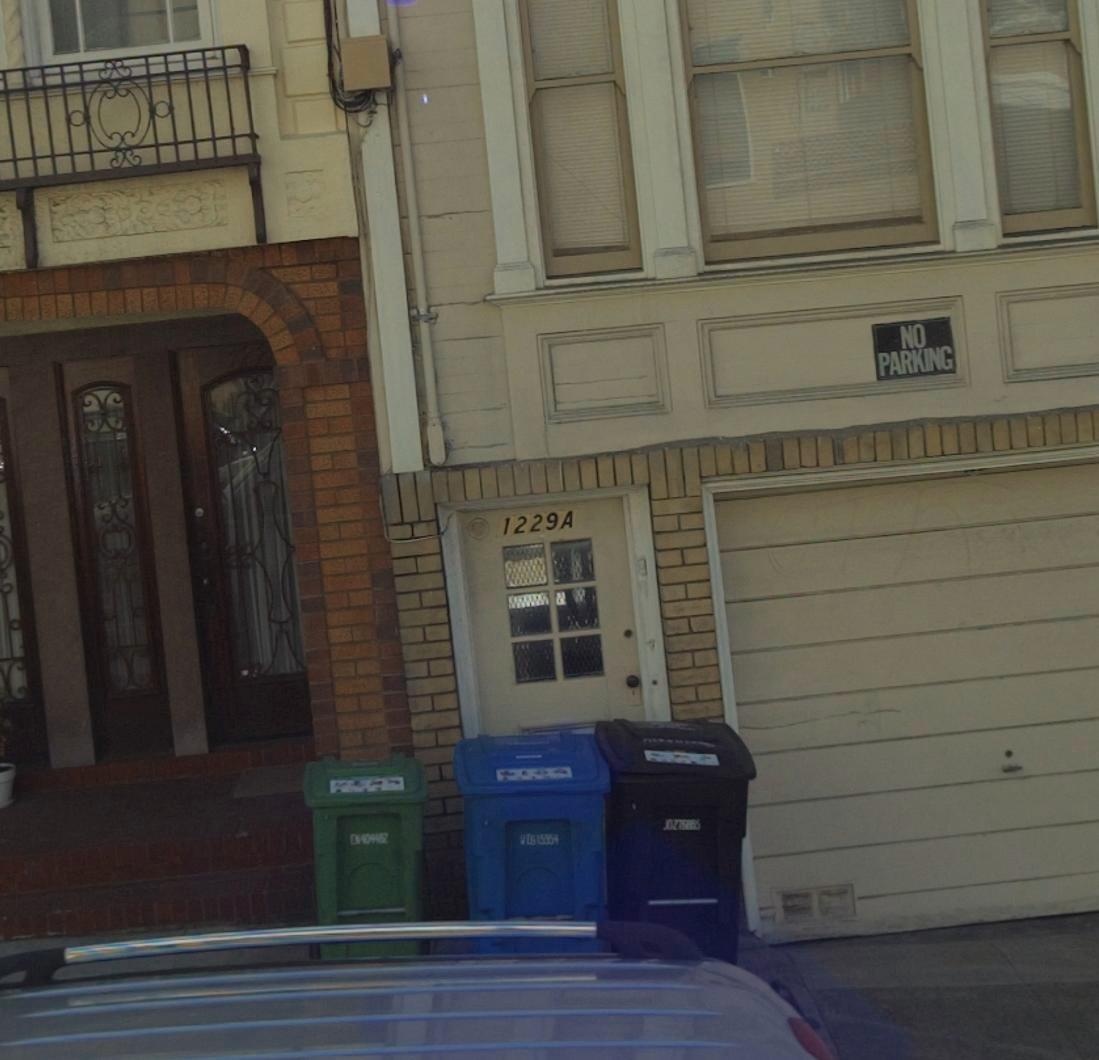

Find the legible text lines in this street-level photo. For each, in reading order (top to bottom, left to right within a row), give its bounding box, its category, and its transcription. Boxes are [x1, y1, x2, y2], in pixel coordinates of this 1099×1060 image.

[898, 322, 929, 351] None: NO
[876, 343, 955, 378] None: PARKING
[500, 509, 575, 537] StreetNumber: 1229A